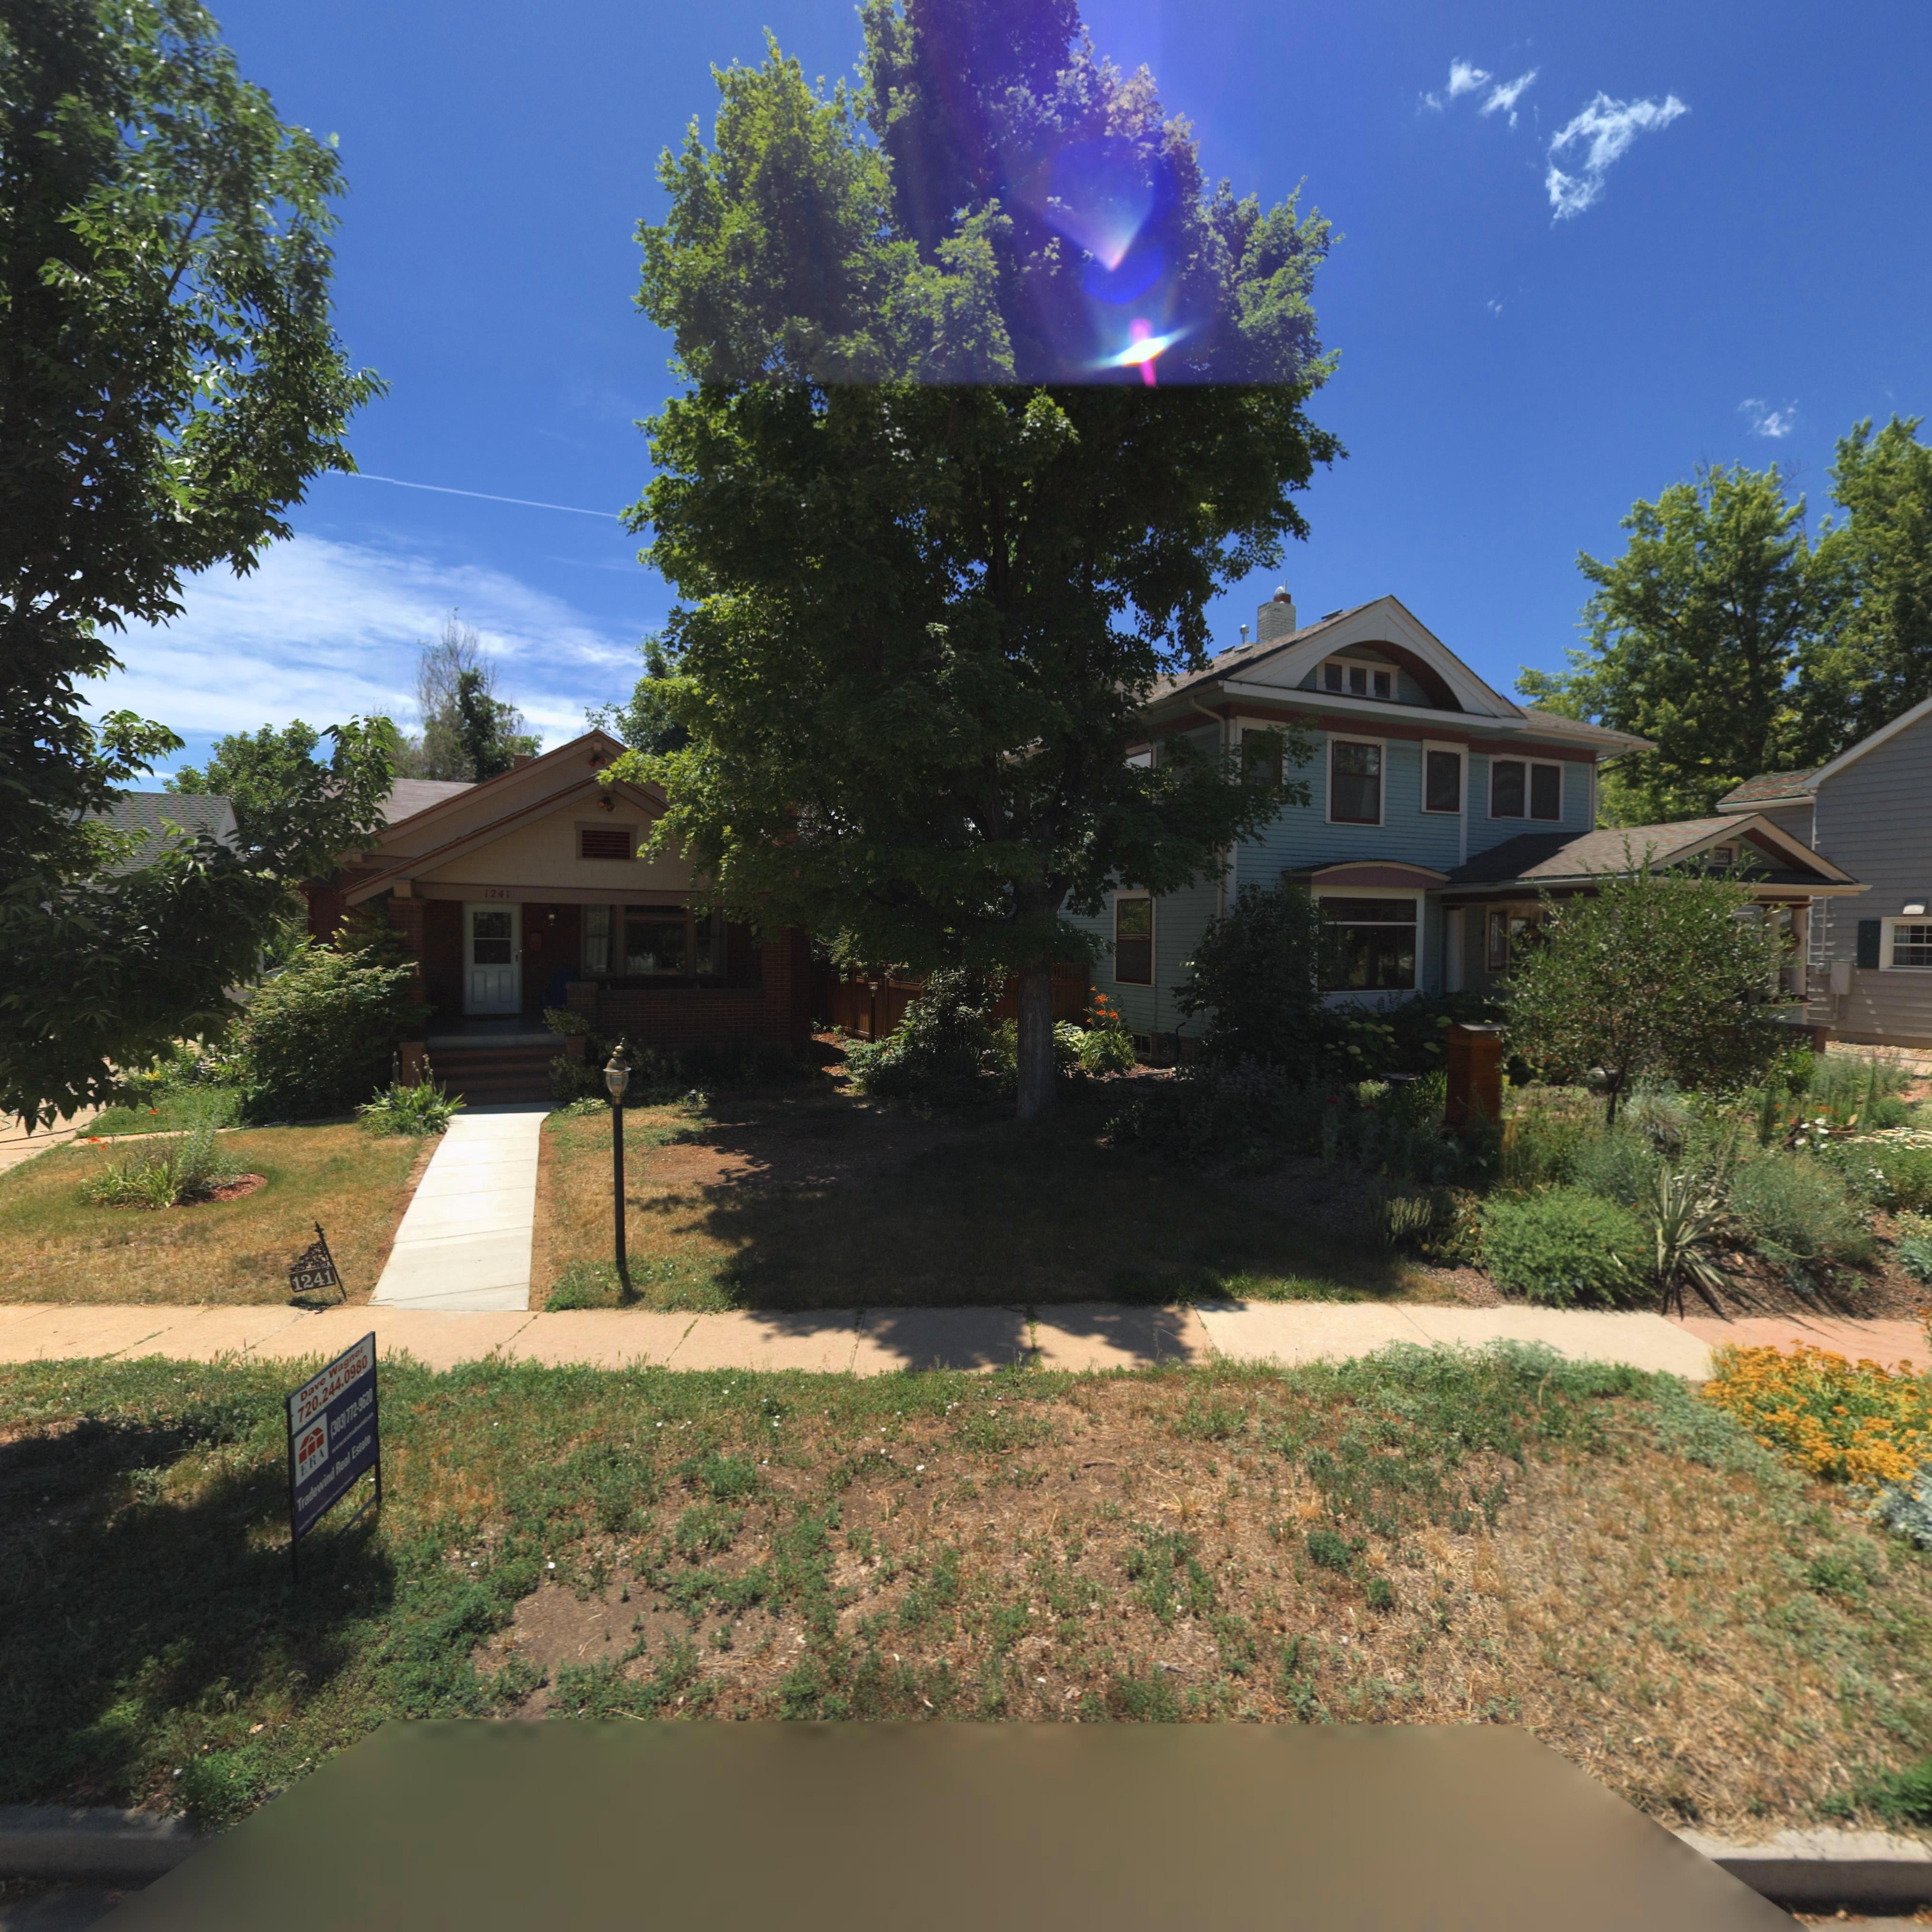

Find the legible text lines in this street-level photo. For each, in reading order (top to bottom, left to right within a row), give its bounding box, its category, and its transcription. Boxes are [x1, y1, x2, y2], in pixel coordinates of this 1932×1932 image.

[1714, 851, 1728, 861] StreetNumber: 124*
[484, 889, 509, 898] StreetNumber: 1241
[291, 1270, 334, 1291] StreetNumber: 1241